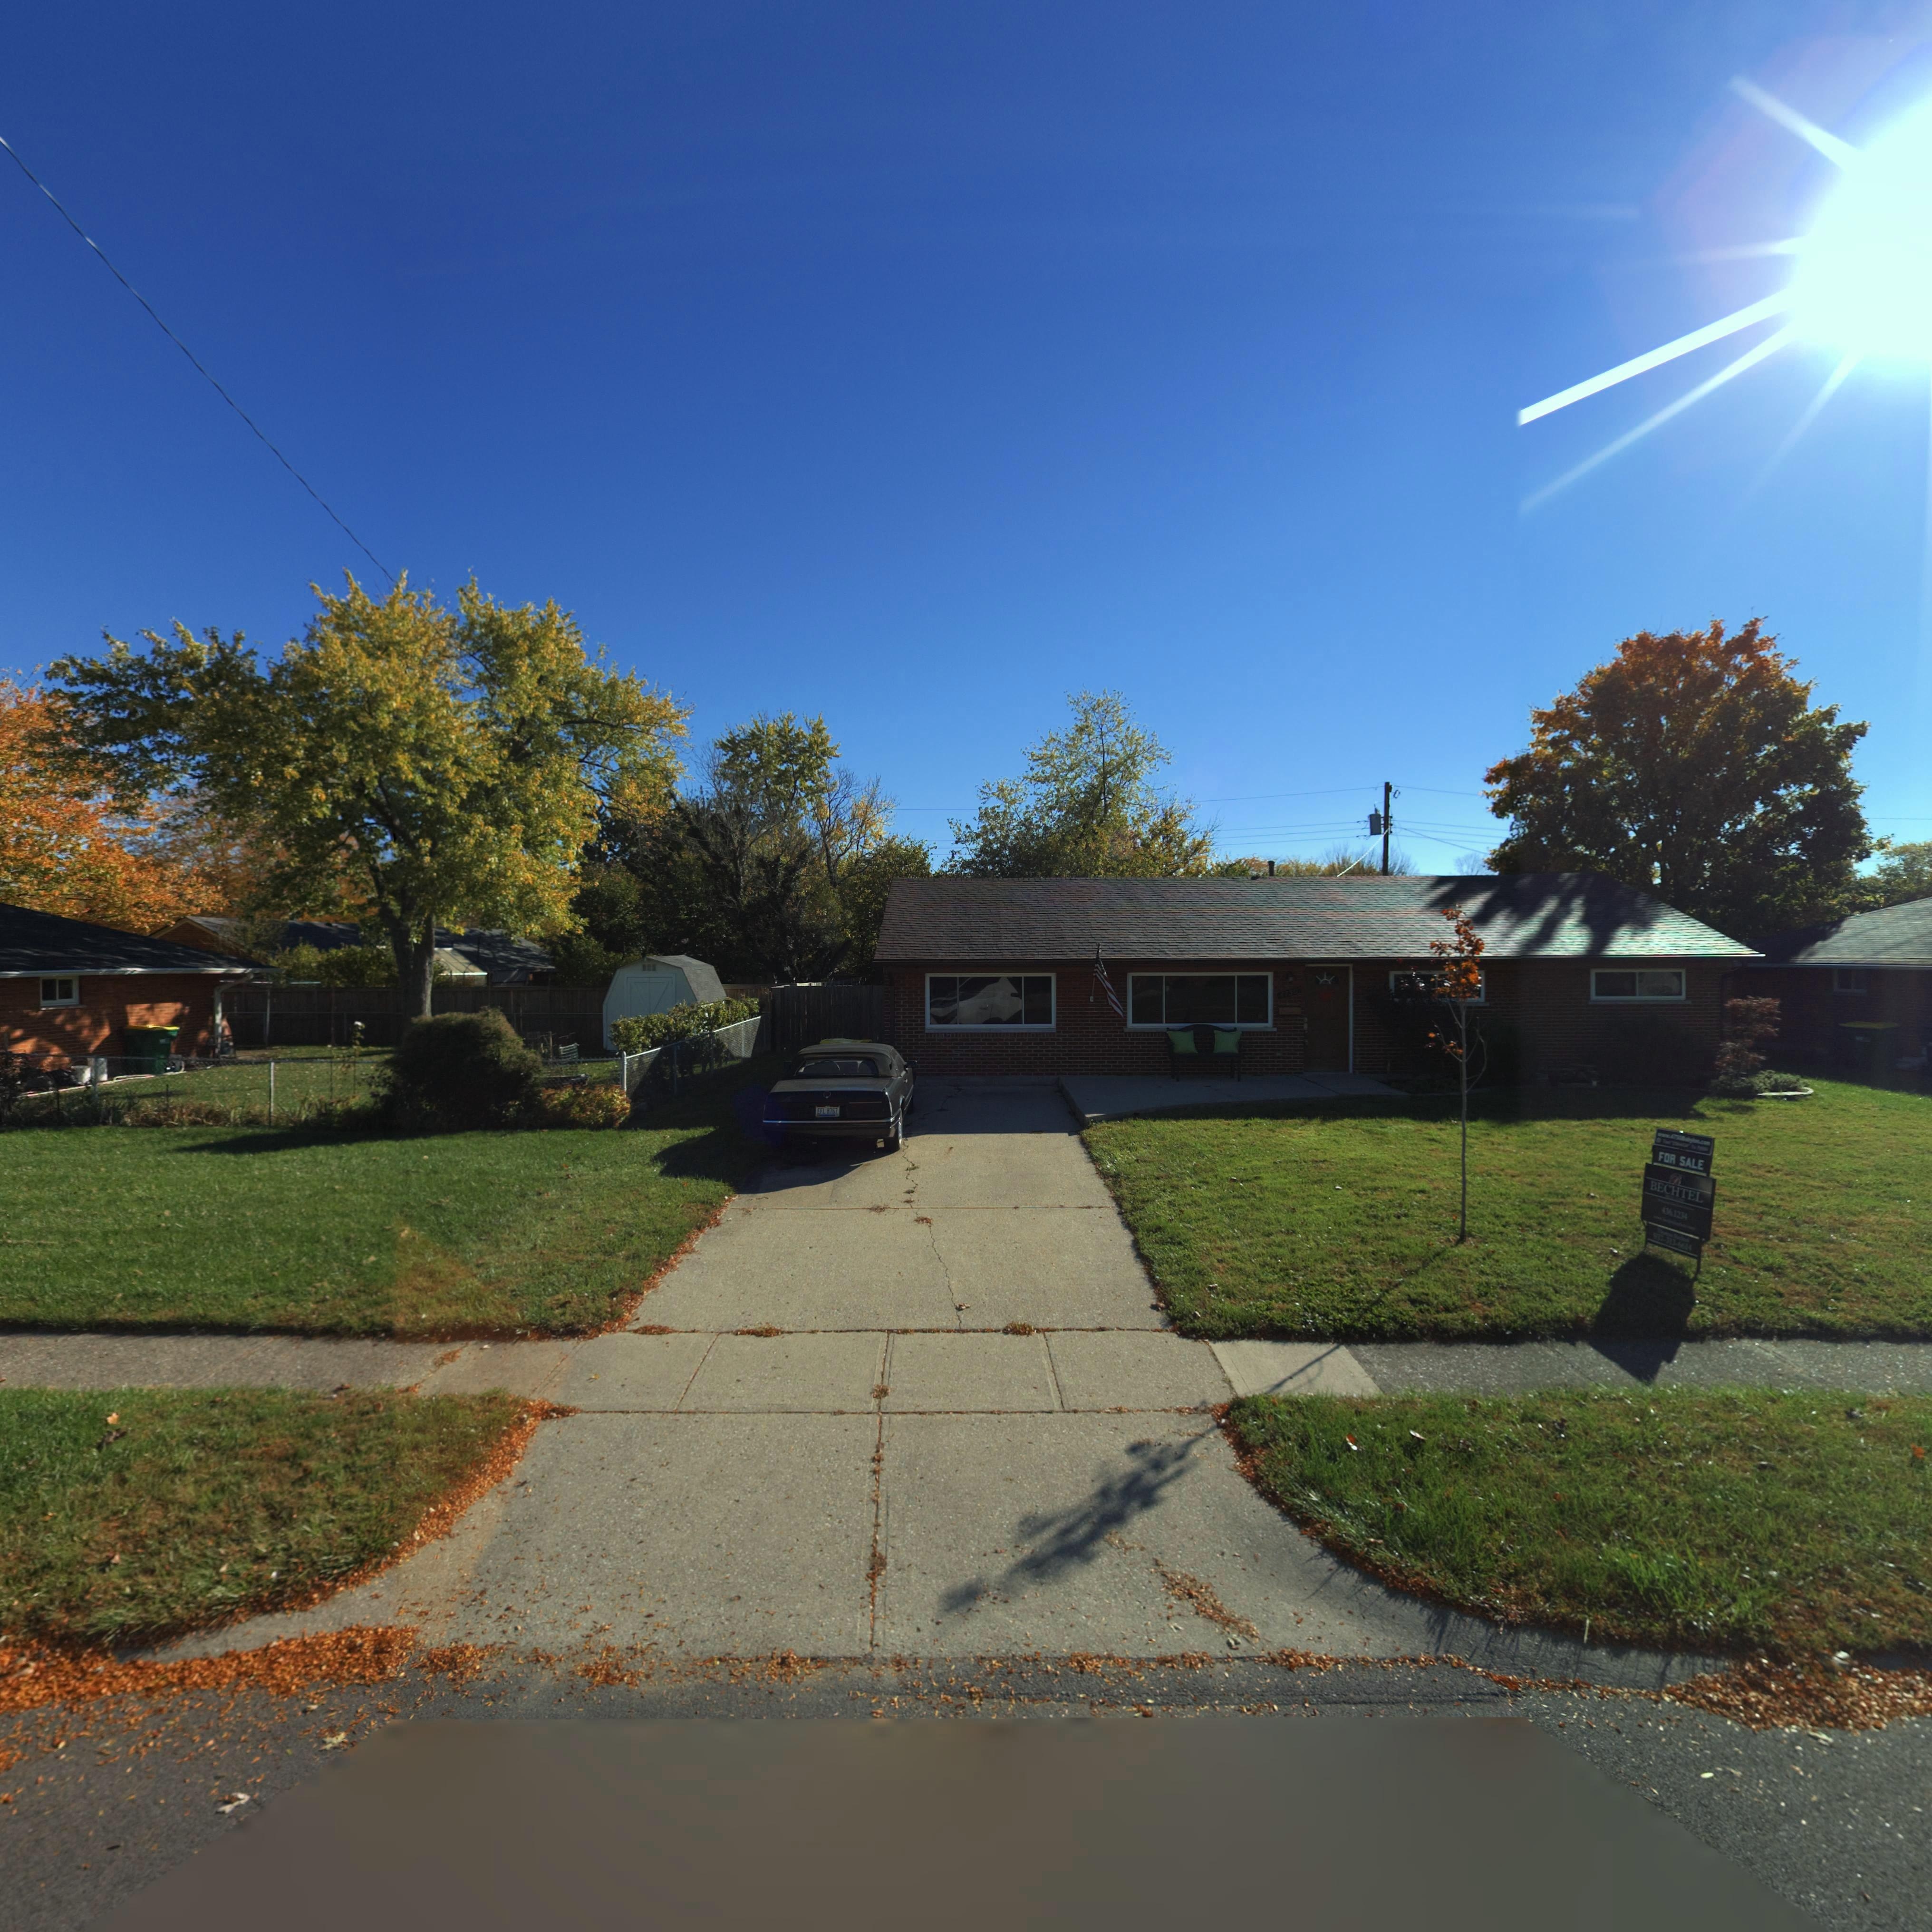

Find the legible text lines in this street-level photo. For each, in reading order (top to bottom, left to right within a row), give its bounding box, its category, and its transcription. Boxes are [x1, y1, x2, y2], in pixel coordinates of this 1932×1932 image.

[1279, 987, 1299, 999] StreetNumber: 4750